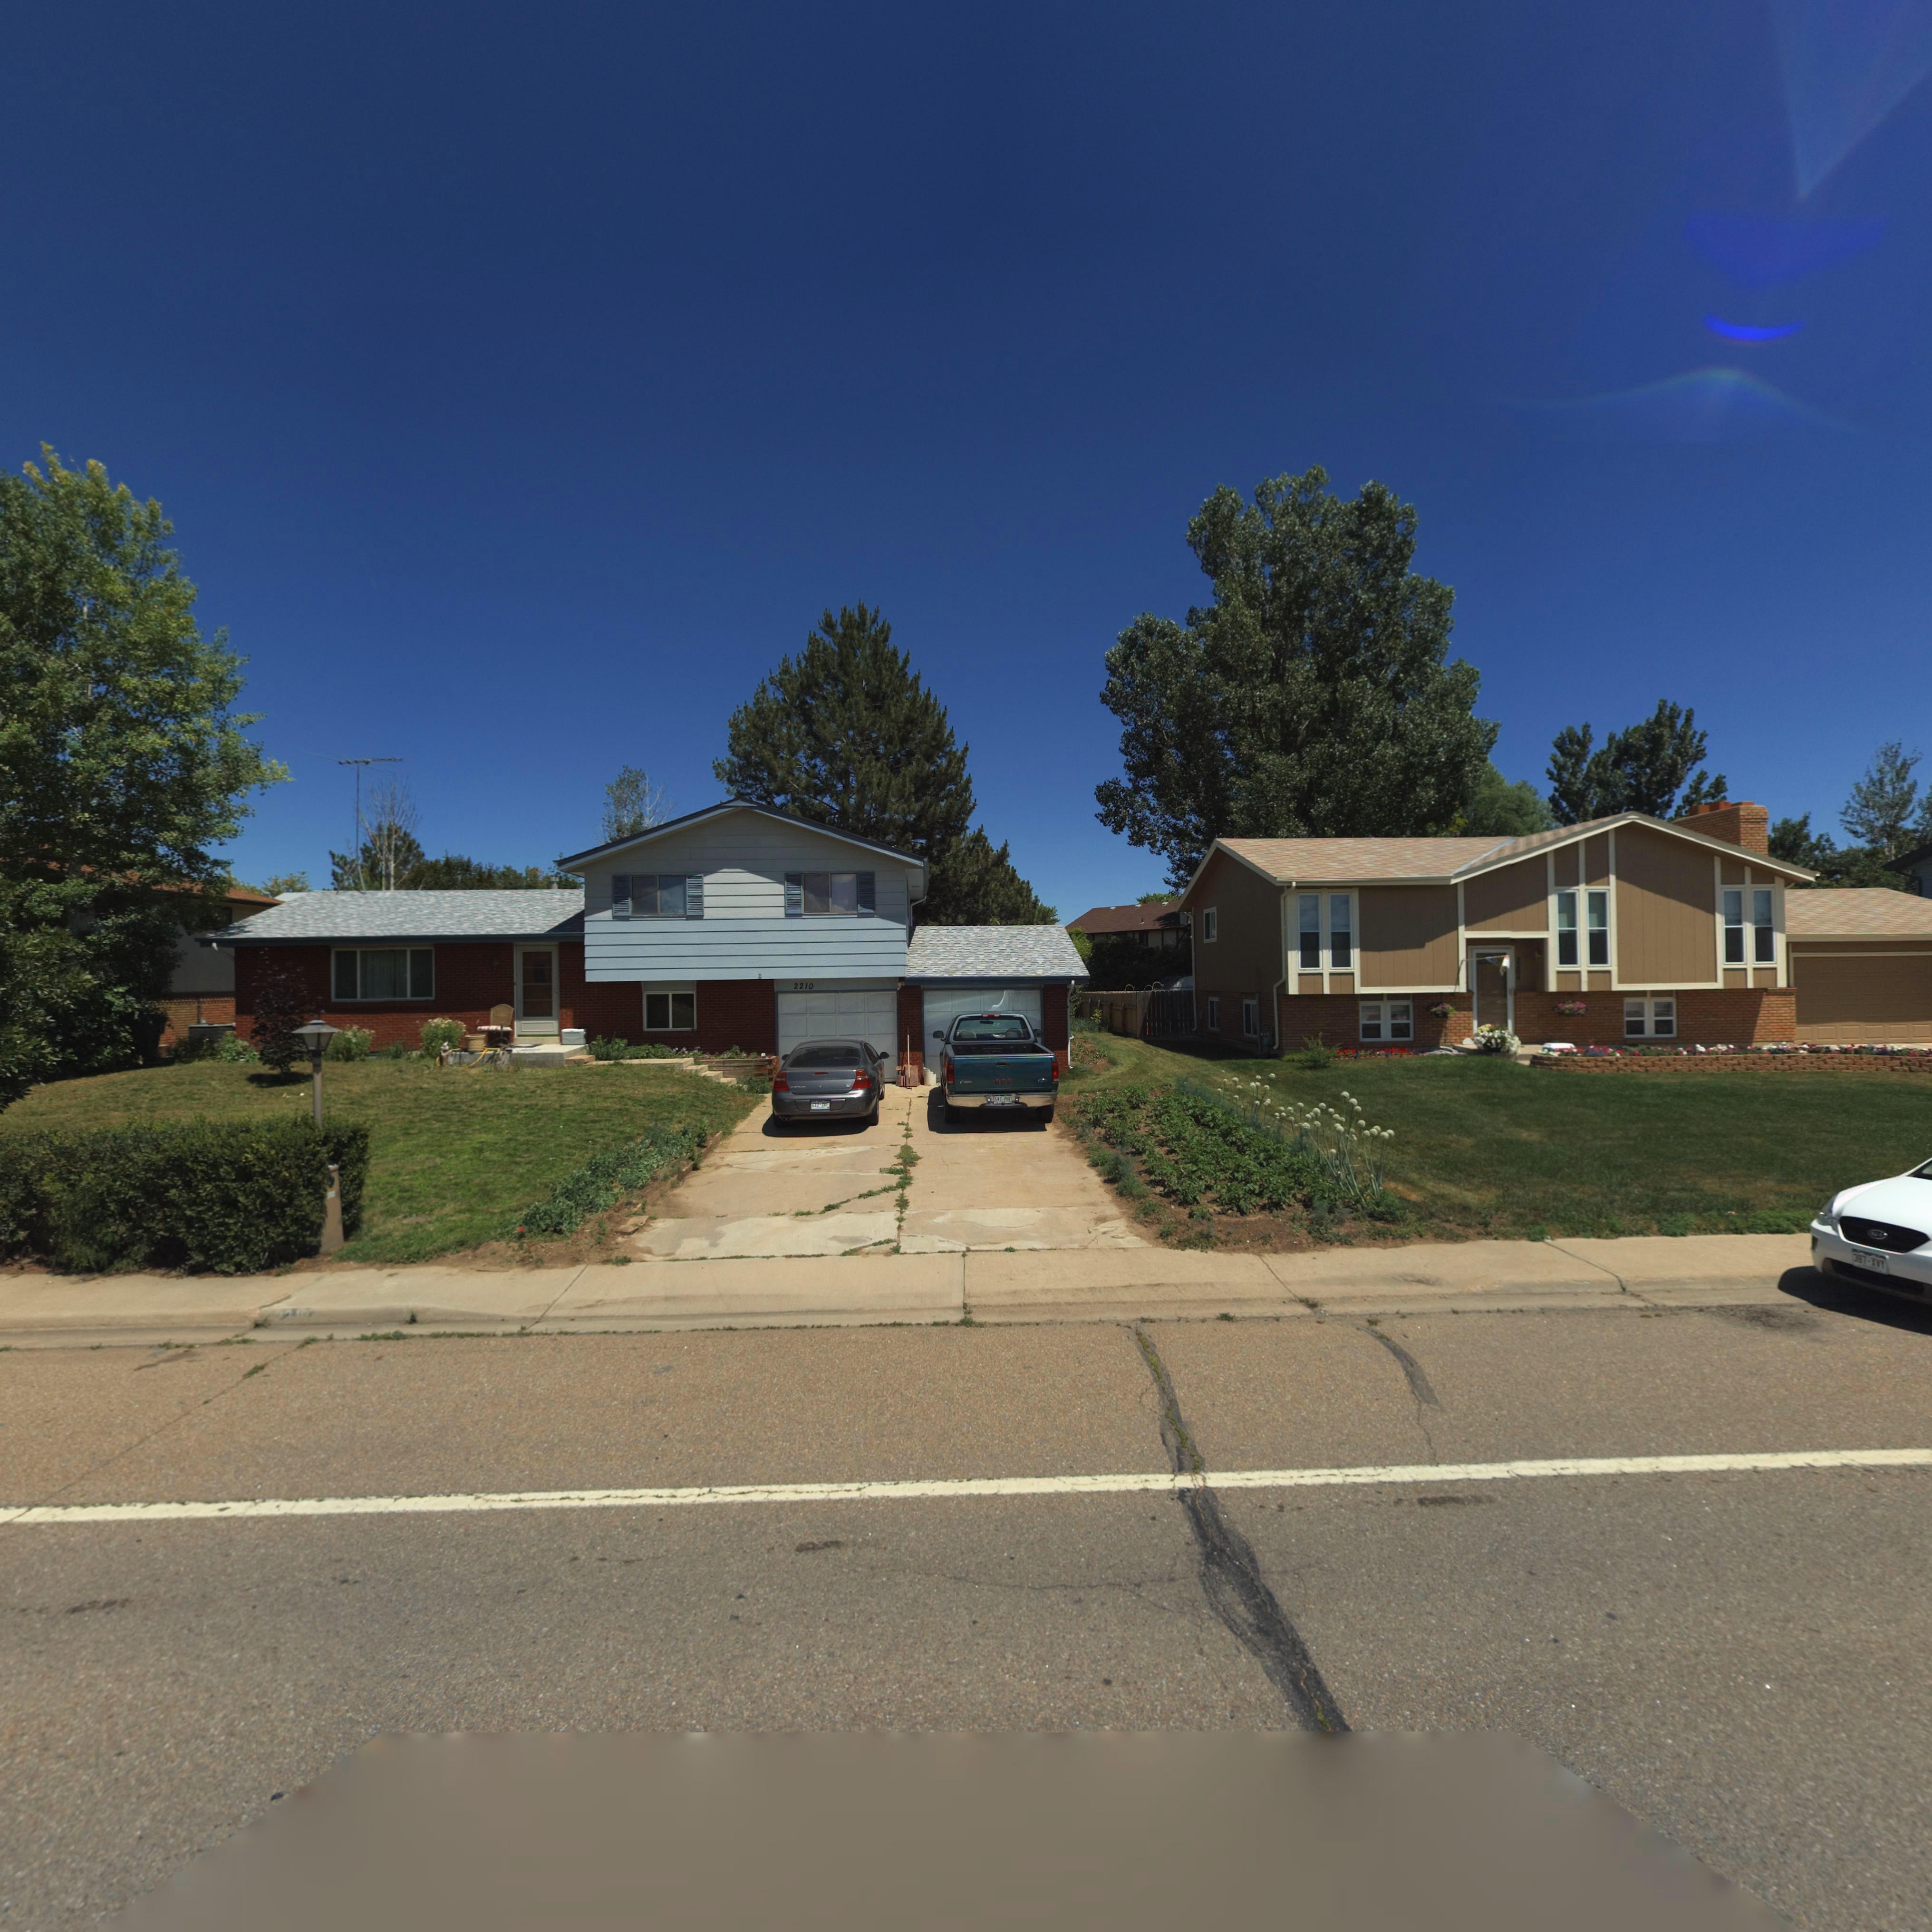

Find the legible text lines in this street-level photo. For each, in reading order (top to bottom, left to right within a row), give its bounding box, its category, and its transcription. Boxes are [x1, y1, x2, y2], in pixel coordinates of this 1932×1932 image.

[793, 982, 813, 989] StreetNumber: 2210